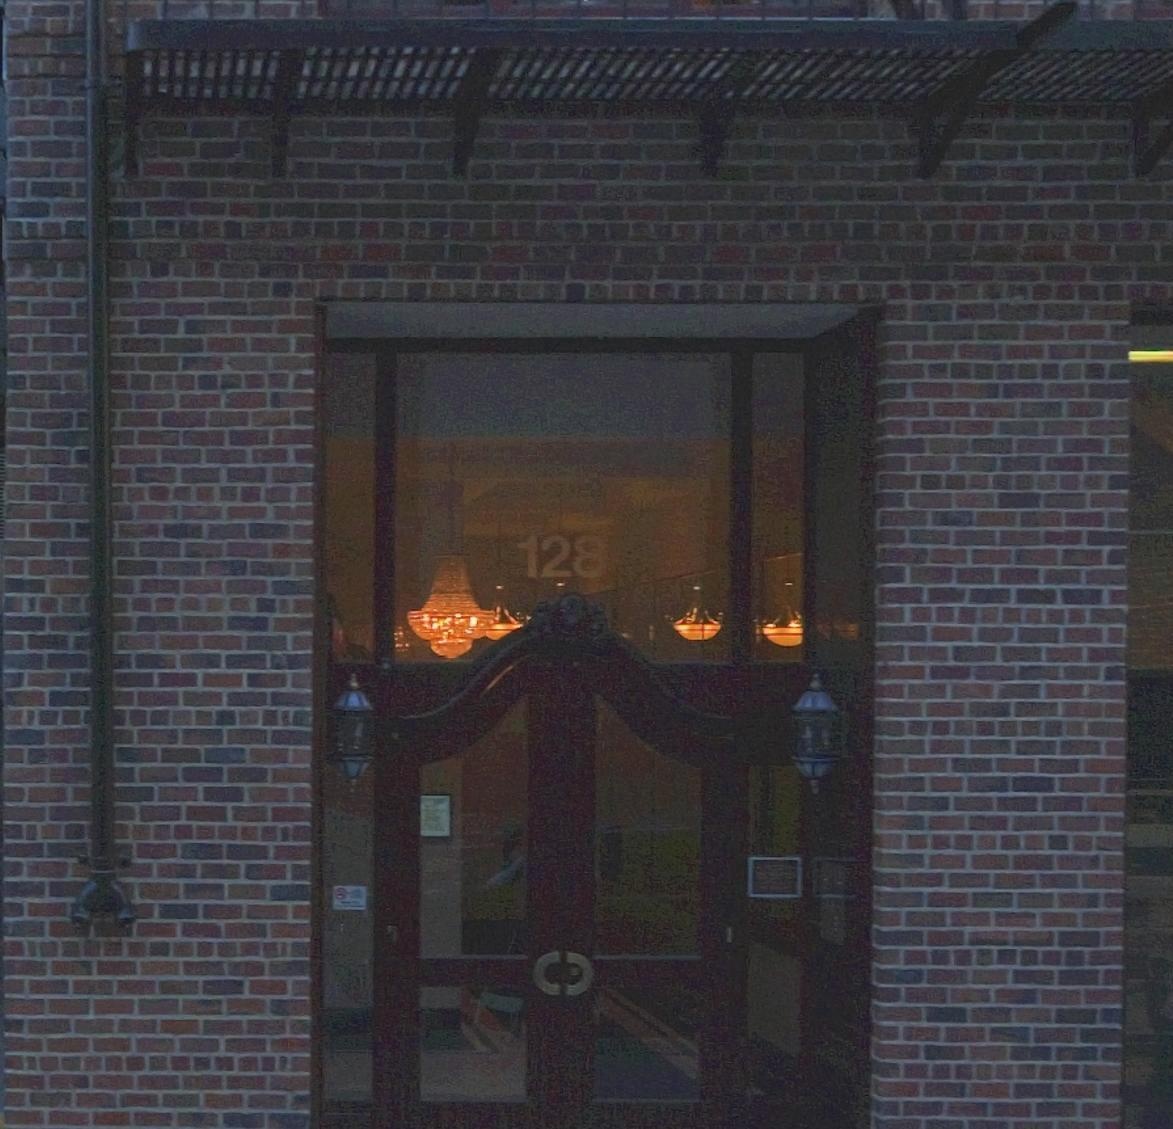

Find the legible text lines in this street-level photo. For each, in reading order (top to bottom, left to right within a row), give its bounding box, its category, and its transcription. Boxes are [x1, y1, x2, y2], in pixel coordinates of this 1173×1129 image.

[515, 531, 611, 581] StreetNumber: 128